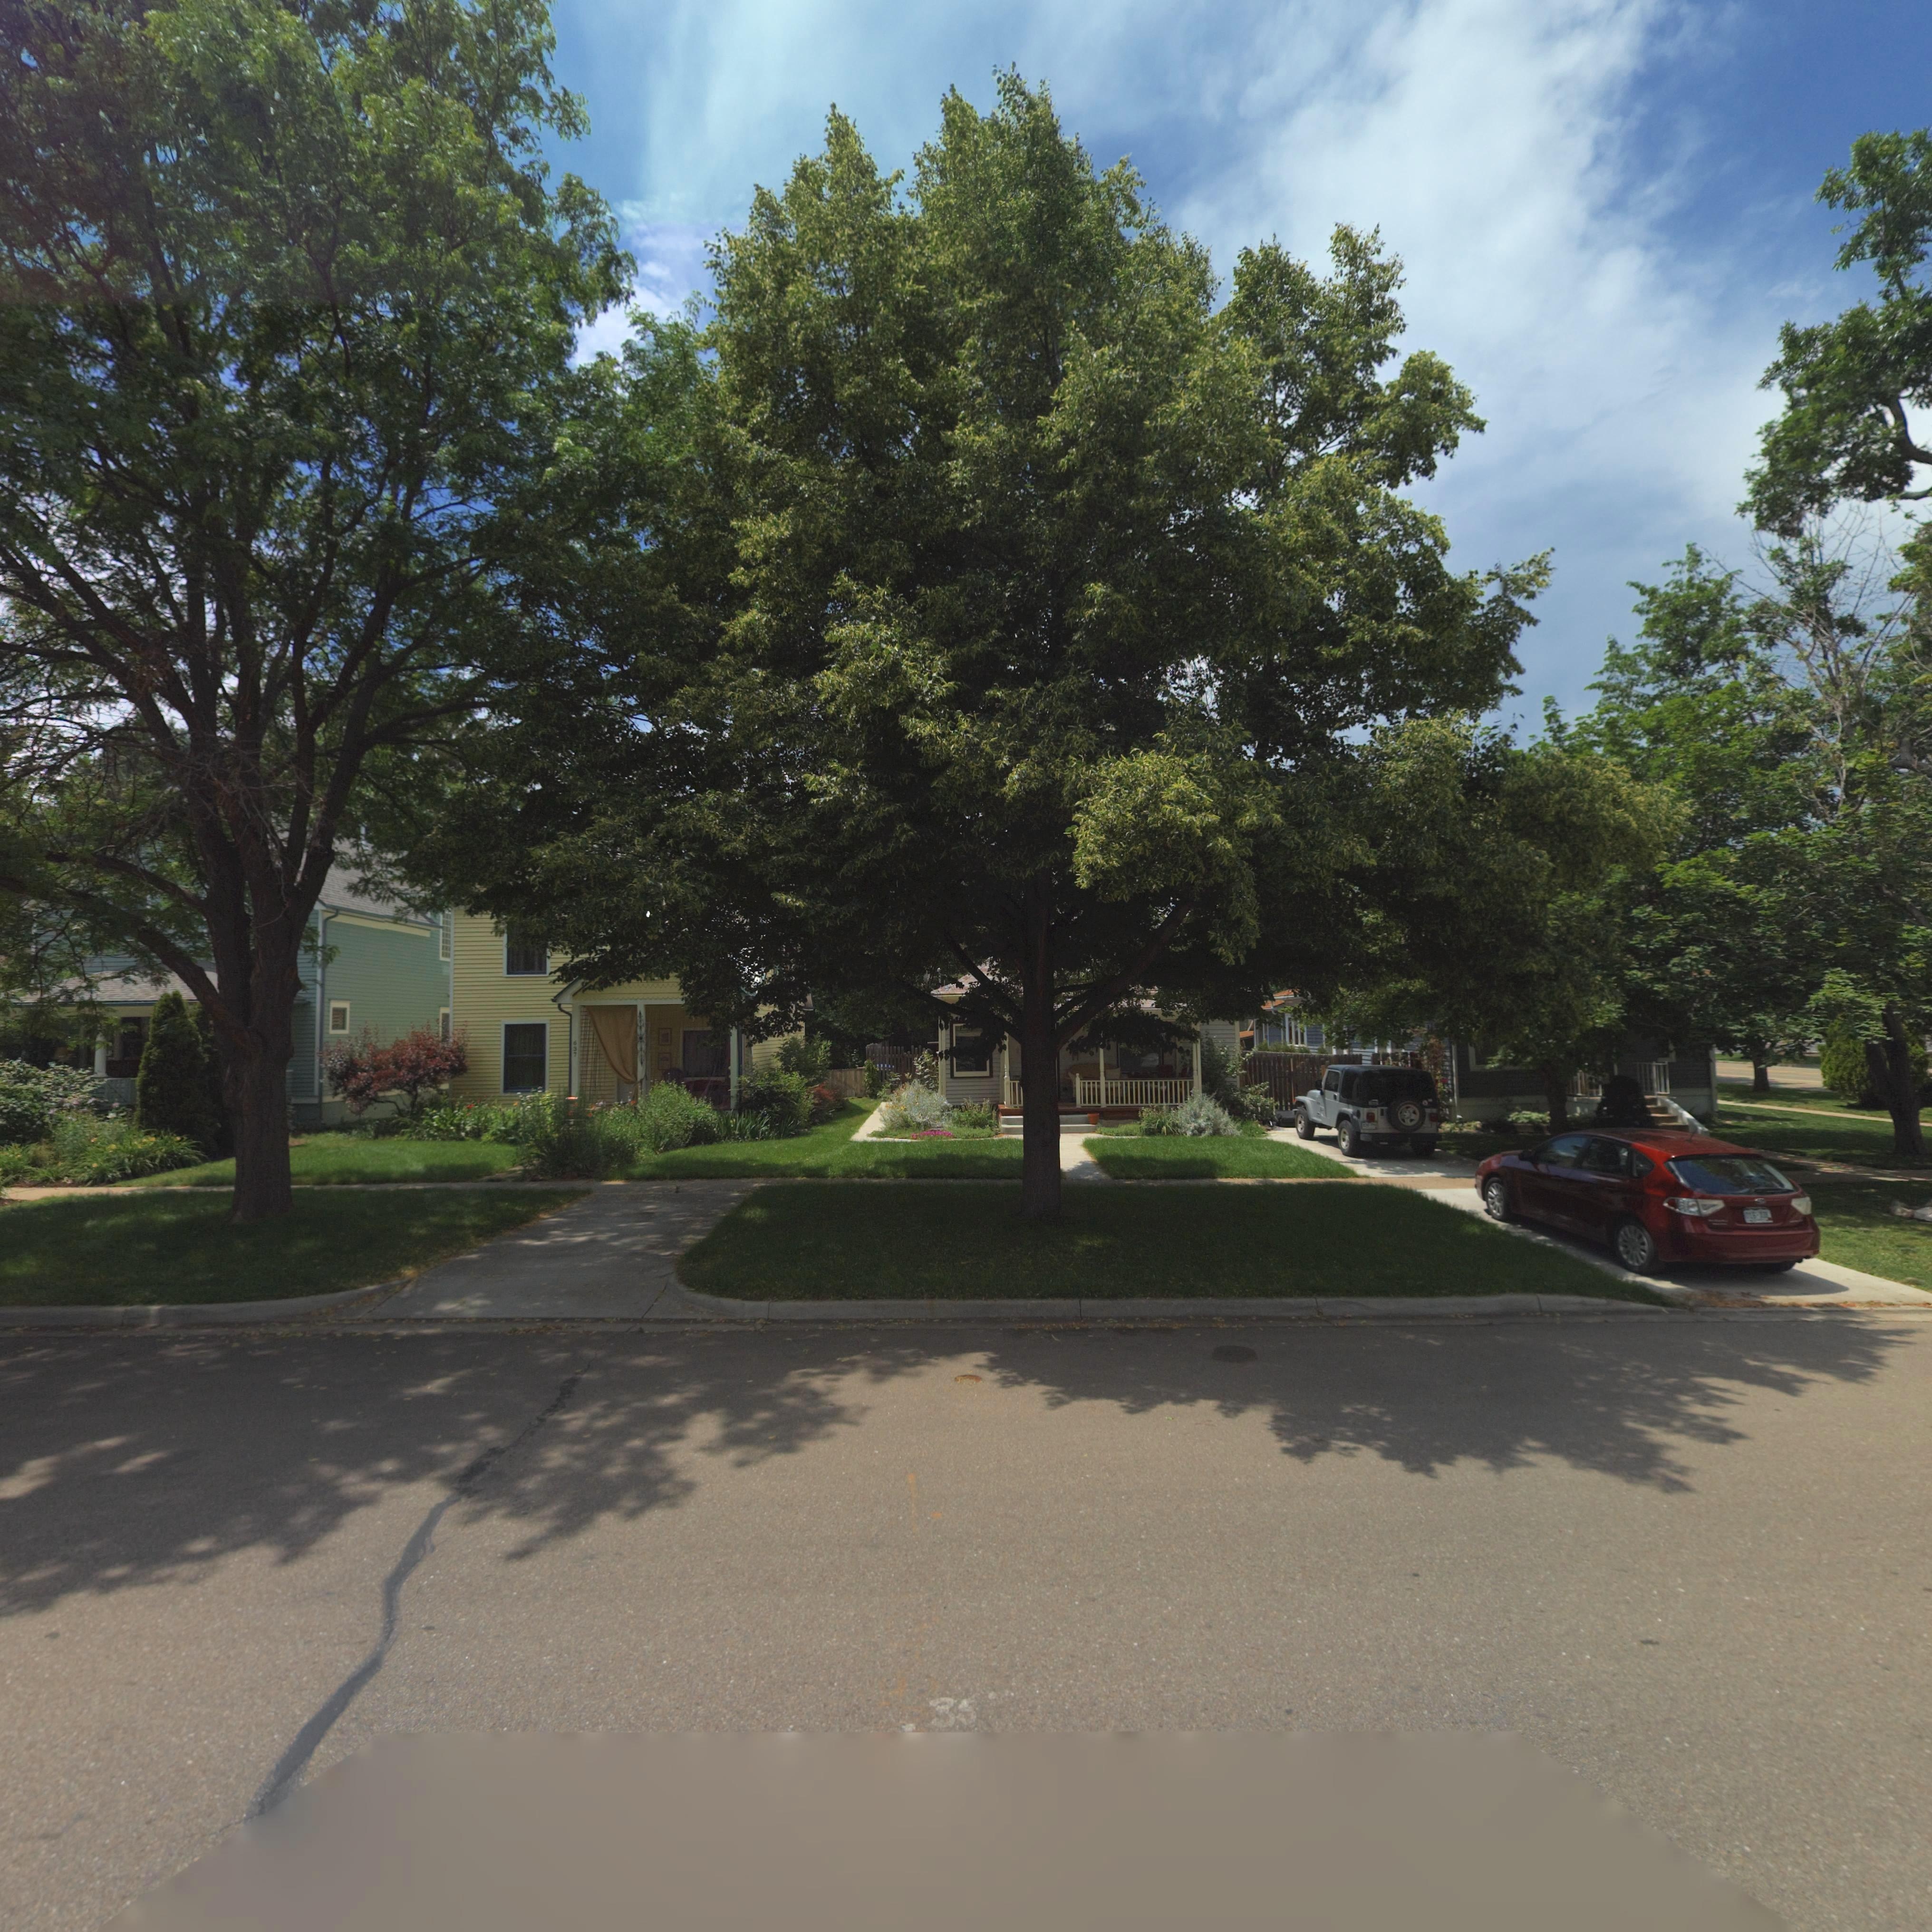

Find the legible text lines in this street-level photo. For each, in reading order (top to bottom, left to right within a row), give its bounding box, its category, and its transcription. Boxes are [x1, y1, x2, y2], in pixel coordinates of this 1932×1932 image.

[573, 1040, 577, 1057] StreetNumber: 637